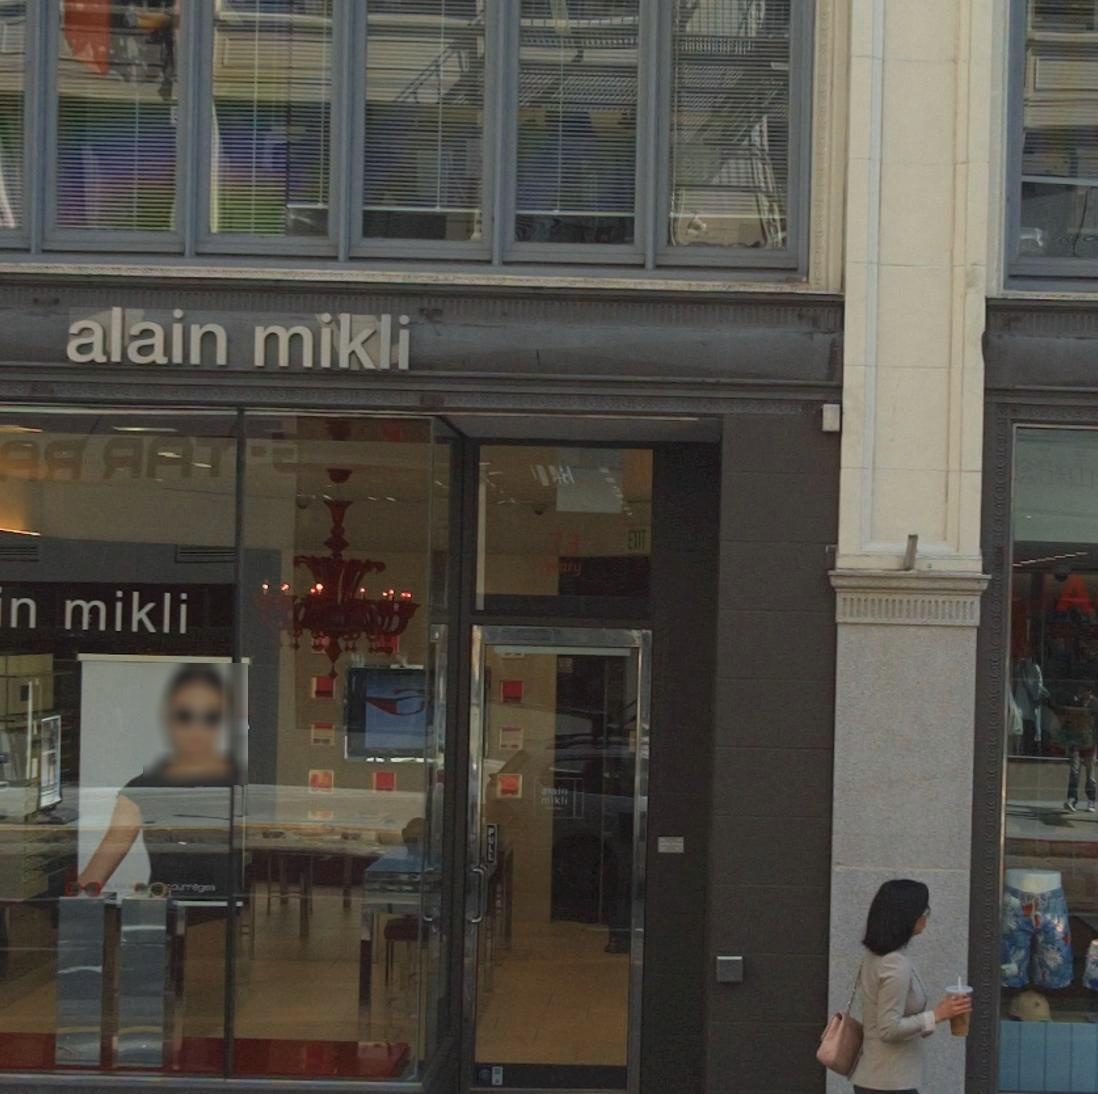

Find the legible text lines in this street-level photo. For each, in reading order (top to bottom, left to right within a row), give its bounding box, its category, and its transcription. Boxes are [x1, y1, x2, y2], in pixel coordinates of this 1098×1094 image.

[63, 306, 416, 376] BusinessName: alain mikli
[1, 437, 236, 484] None: A* *AT
[546, 530, 581, 556] StreetNumber: 73
[626, 528, 646, 549] None: exit
[558, 562, 580, 577] None: ary
[6, 585, 187, 635] None: n mikli
[1053, 573, 1093, 614] None: A
[487, 827, 494, 861] None: PULL